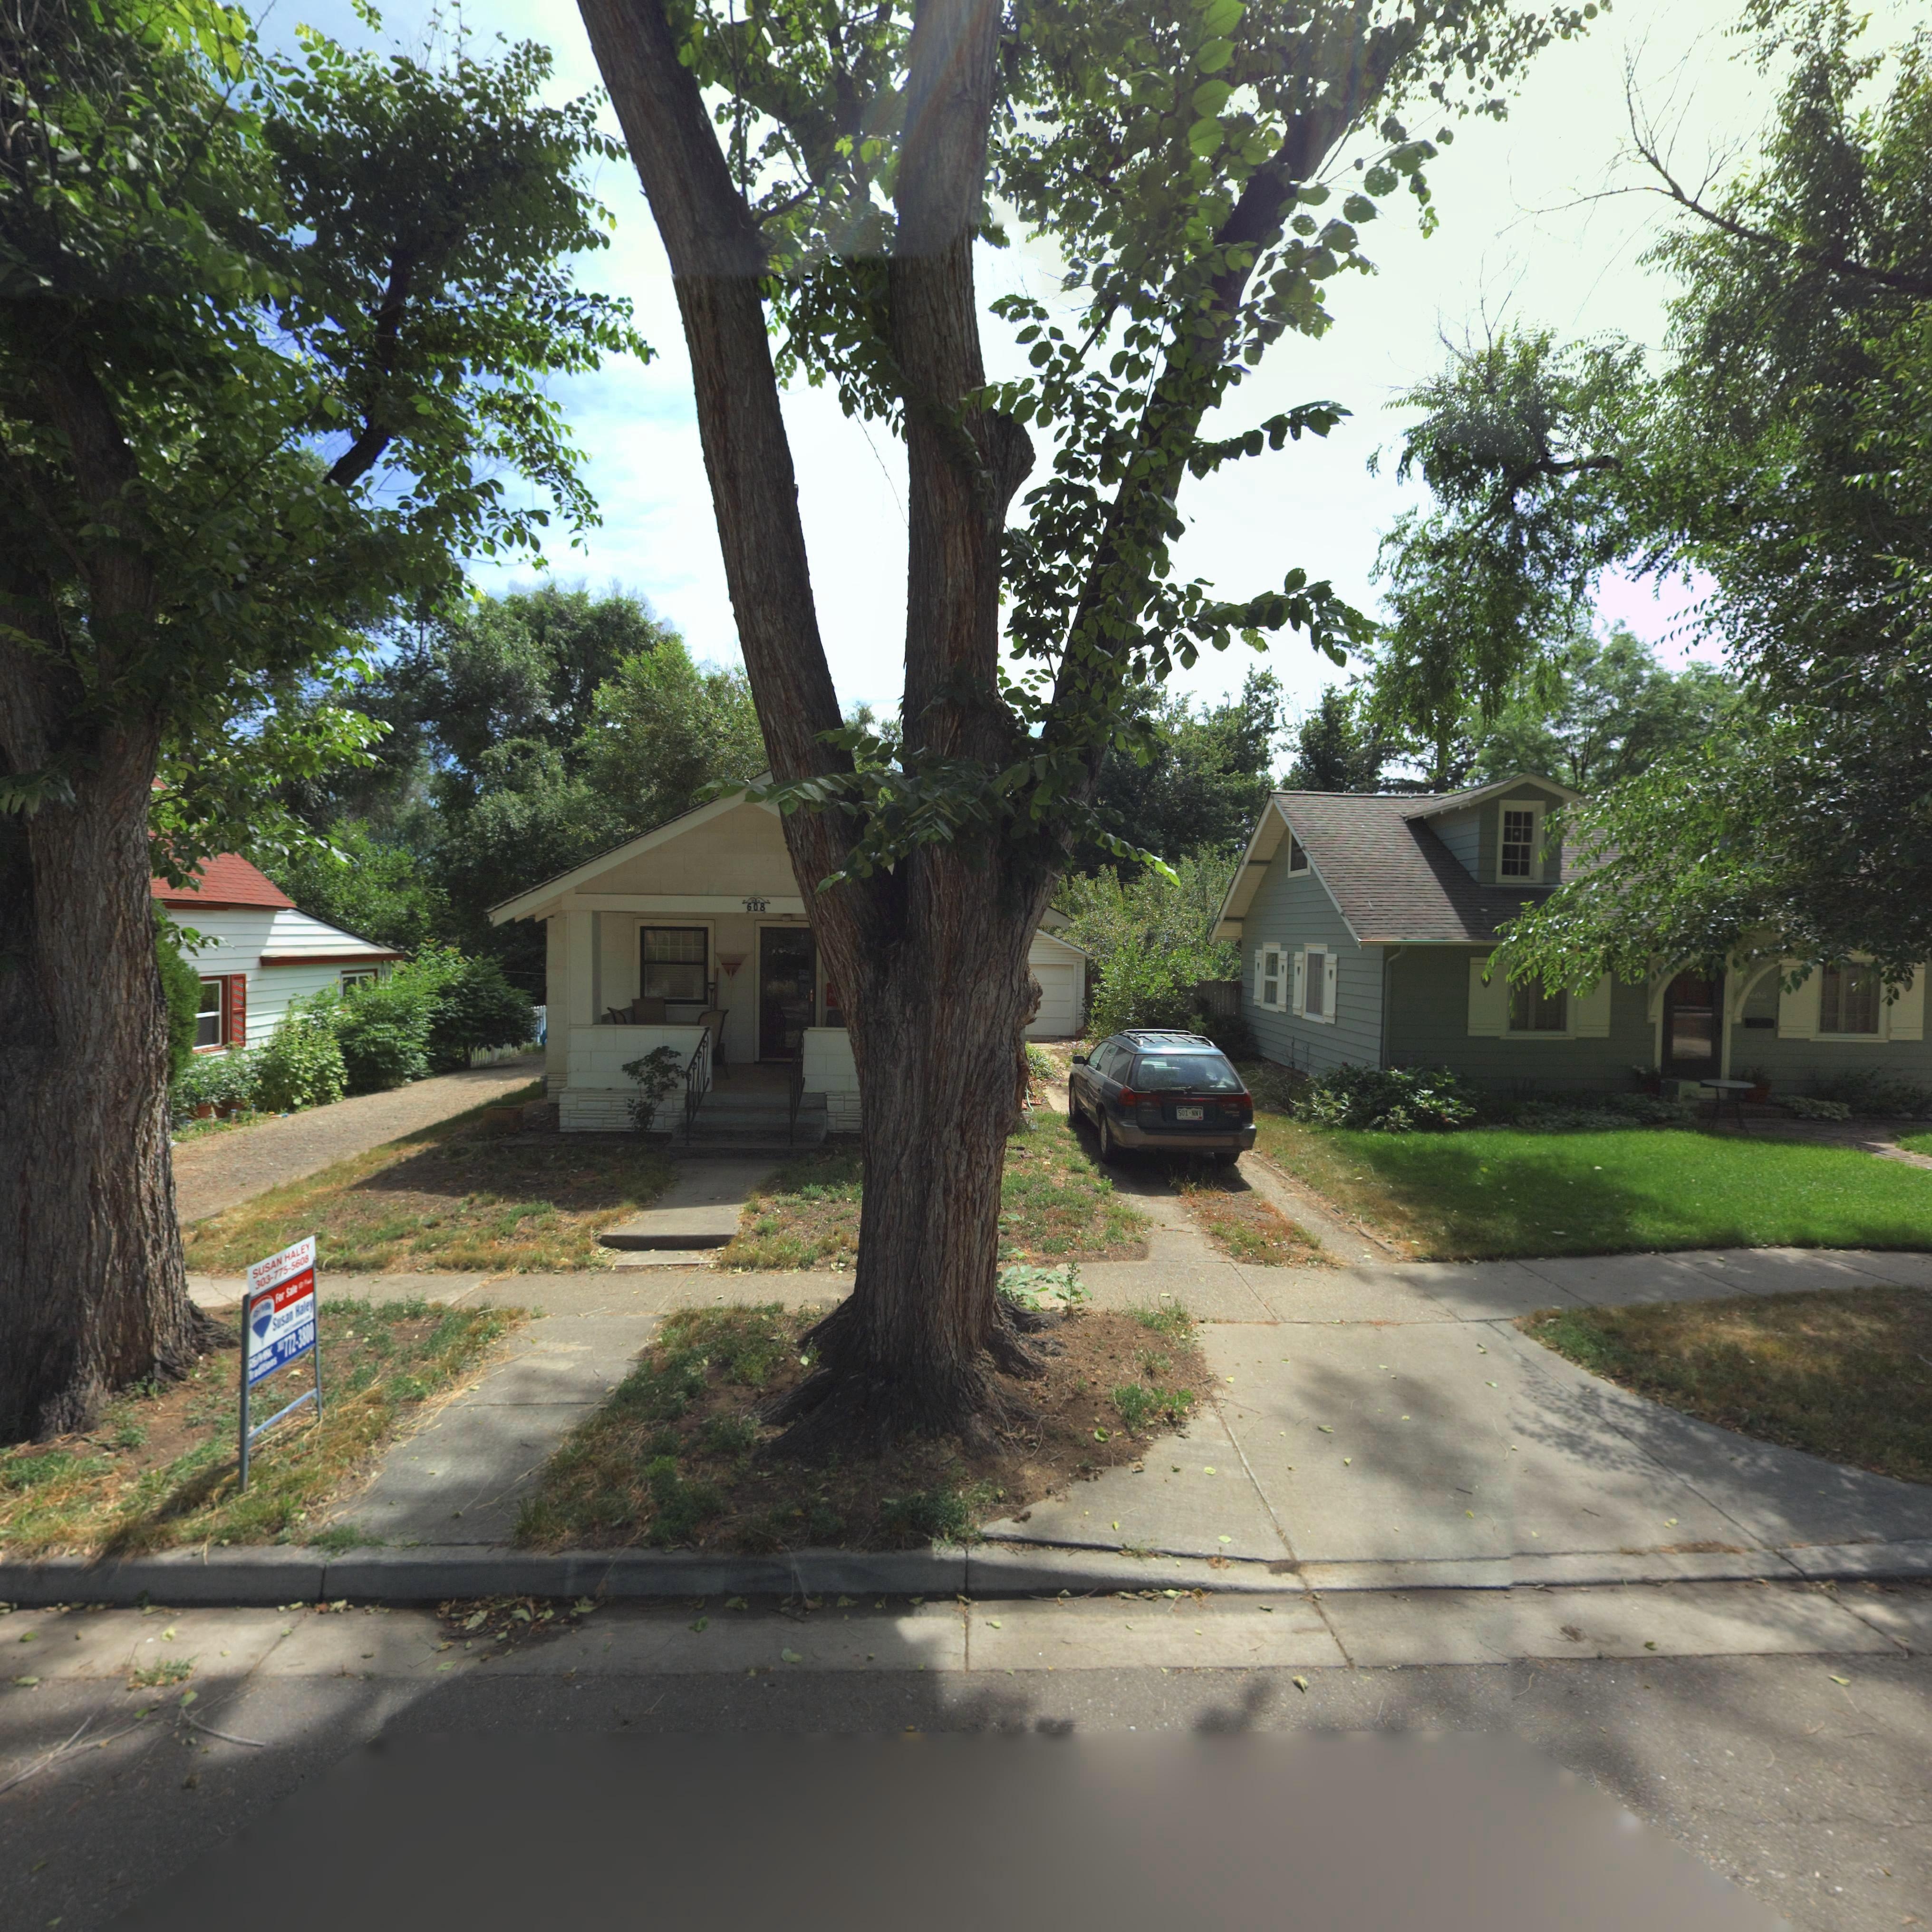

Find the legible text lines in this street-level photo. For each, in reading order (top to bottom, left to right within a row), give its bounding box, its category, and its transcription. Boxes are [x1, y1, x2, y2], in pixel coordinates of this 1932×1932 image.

[1748, 990, 1768, 1000] StreetNumber: *06